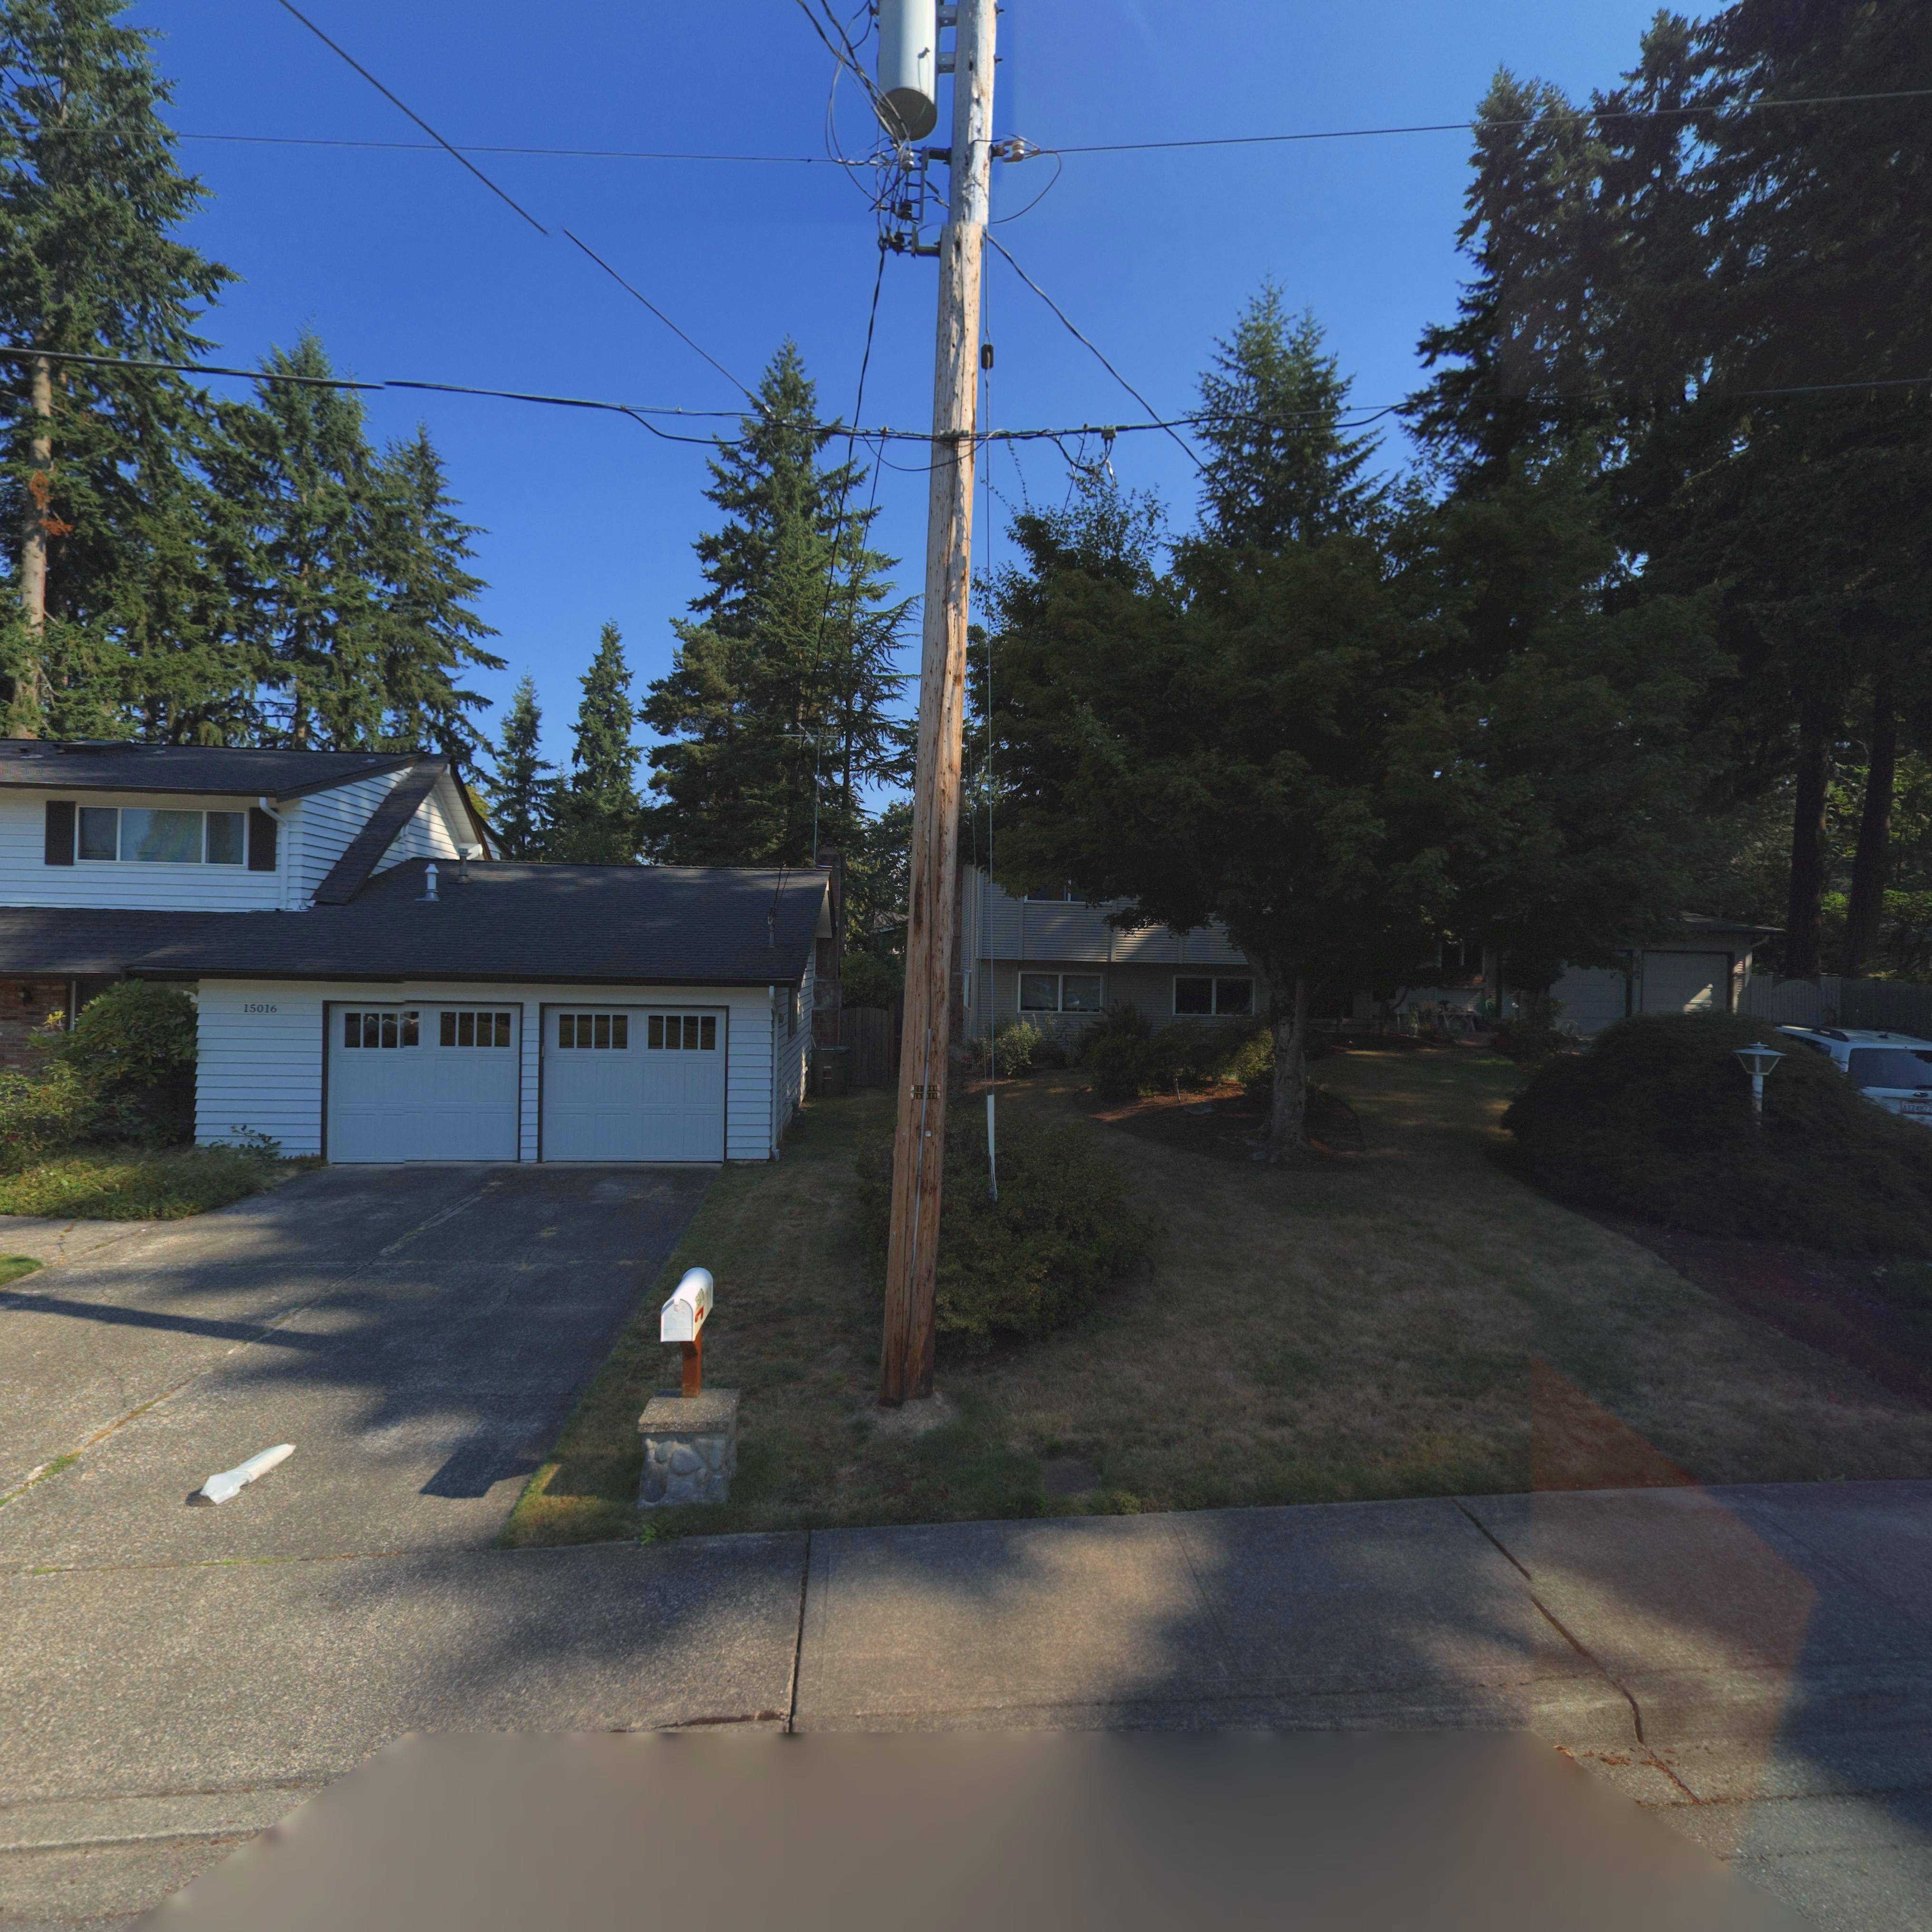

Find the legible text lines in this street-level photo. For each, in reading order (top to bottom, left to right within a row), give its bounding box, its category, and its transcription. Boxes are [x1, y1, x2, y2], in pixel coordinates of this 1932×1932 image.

[243, 1004, 277, 1014] StreetNumber: 15016